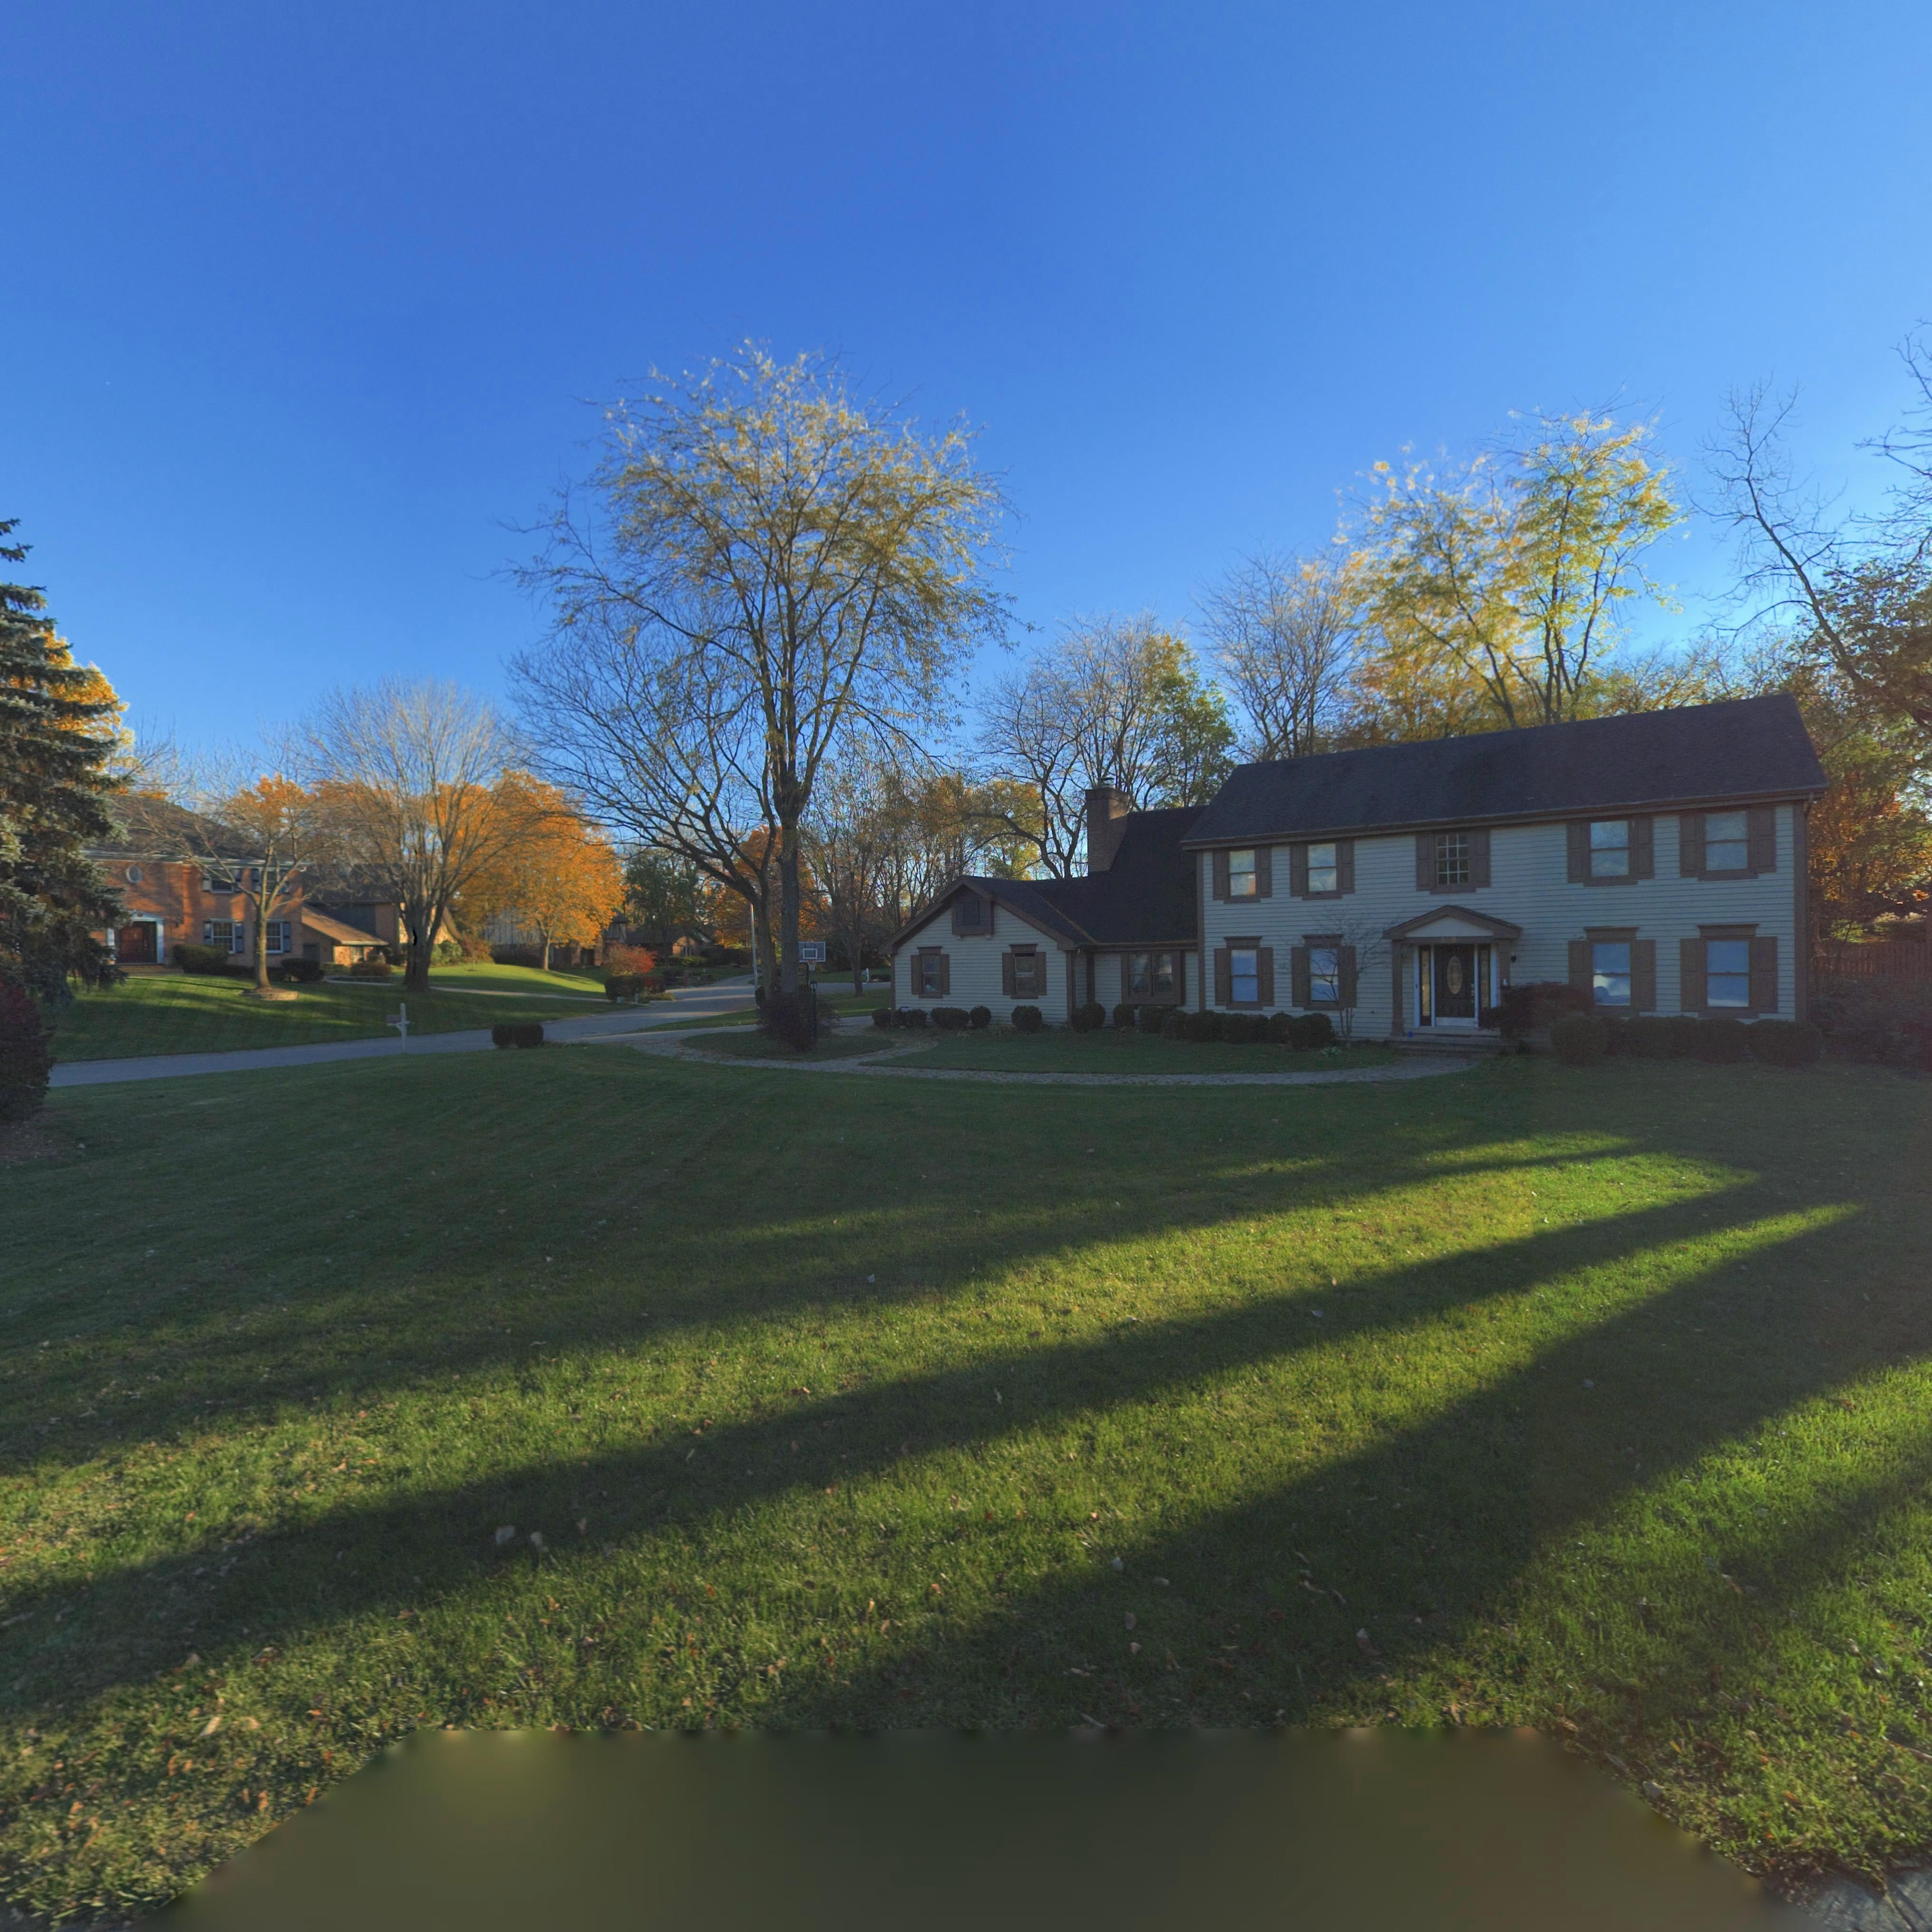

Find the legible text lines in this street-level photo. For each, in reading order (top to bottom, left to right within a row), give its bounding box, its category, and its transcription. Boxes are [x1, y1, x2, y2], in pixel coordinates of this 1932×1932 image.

[1440, 937, 1457, 944] StreetNumber: 502